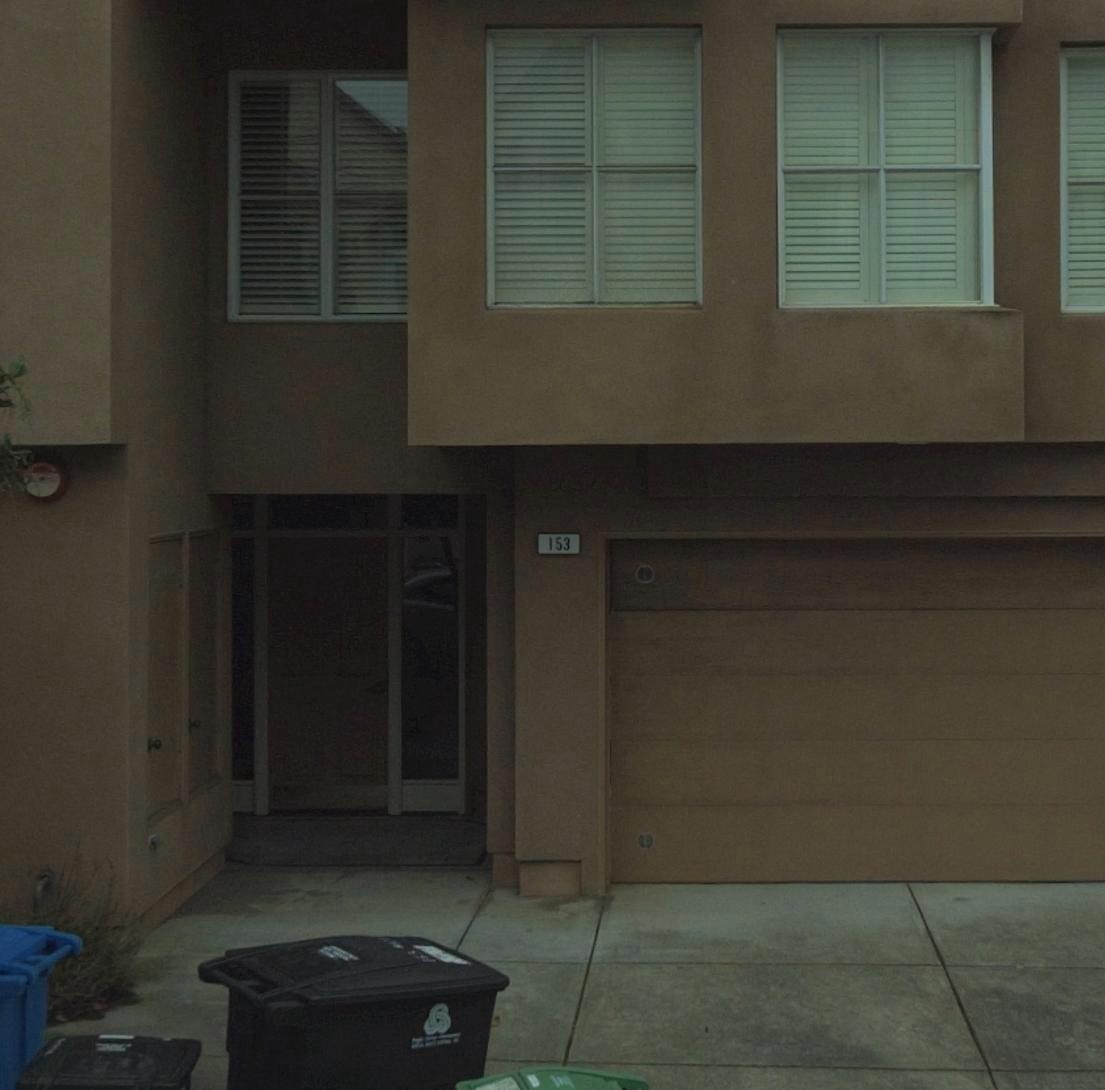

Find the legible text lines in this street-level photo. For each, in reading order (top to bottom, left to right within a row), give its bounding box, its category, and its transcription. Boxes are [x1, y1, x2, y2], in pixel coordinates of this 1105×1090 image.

[546, 535, 571, 552] StreetNumber: 153